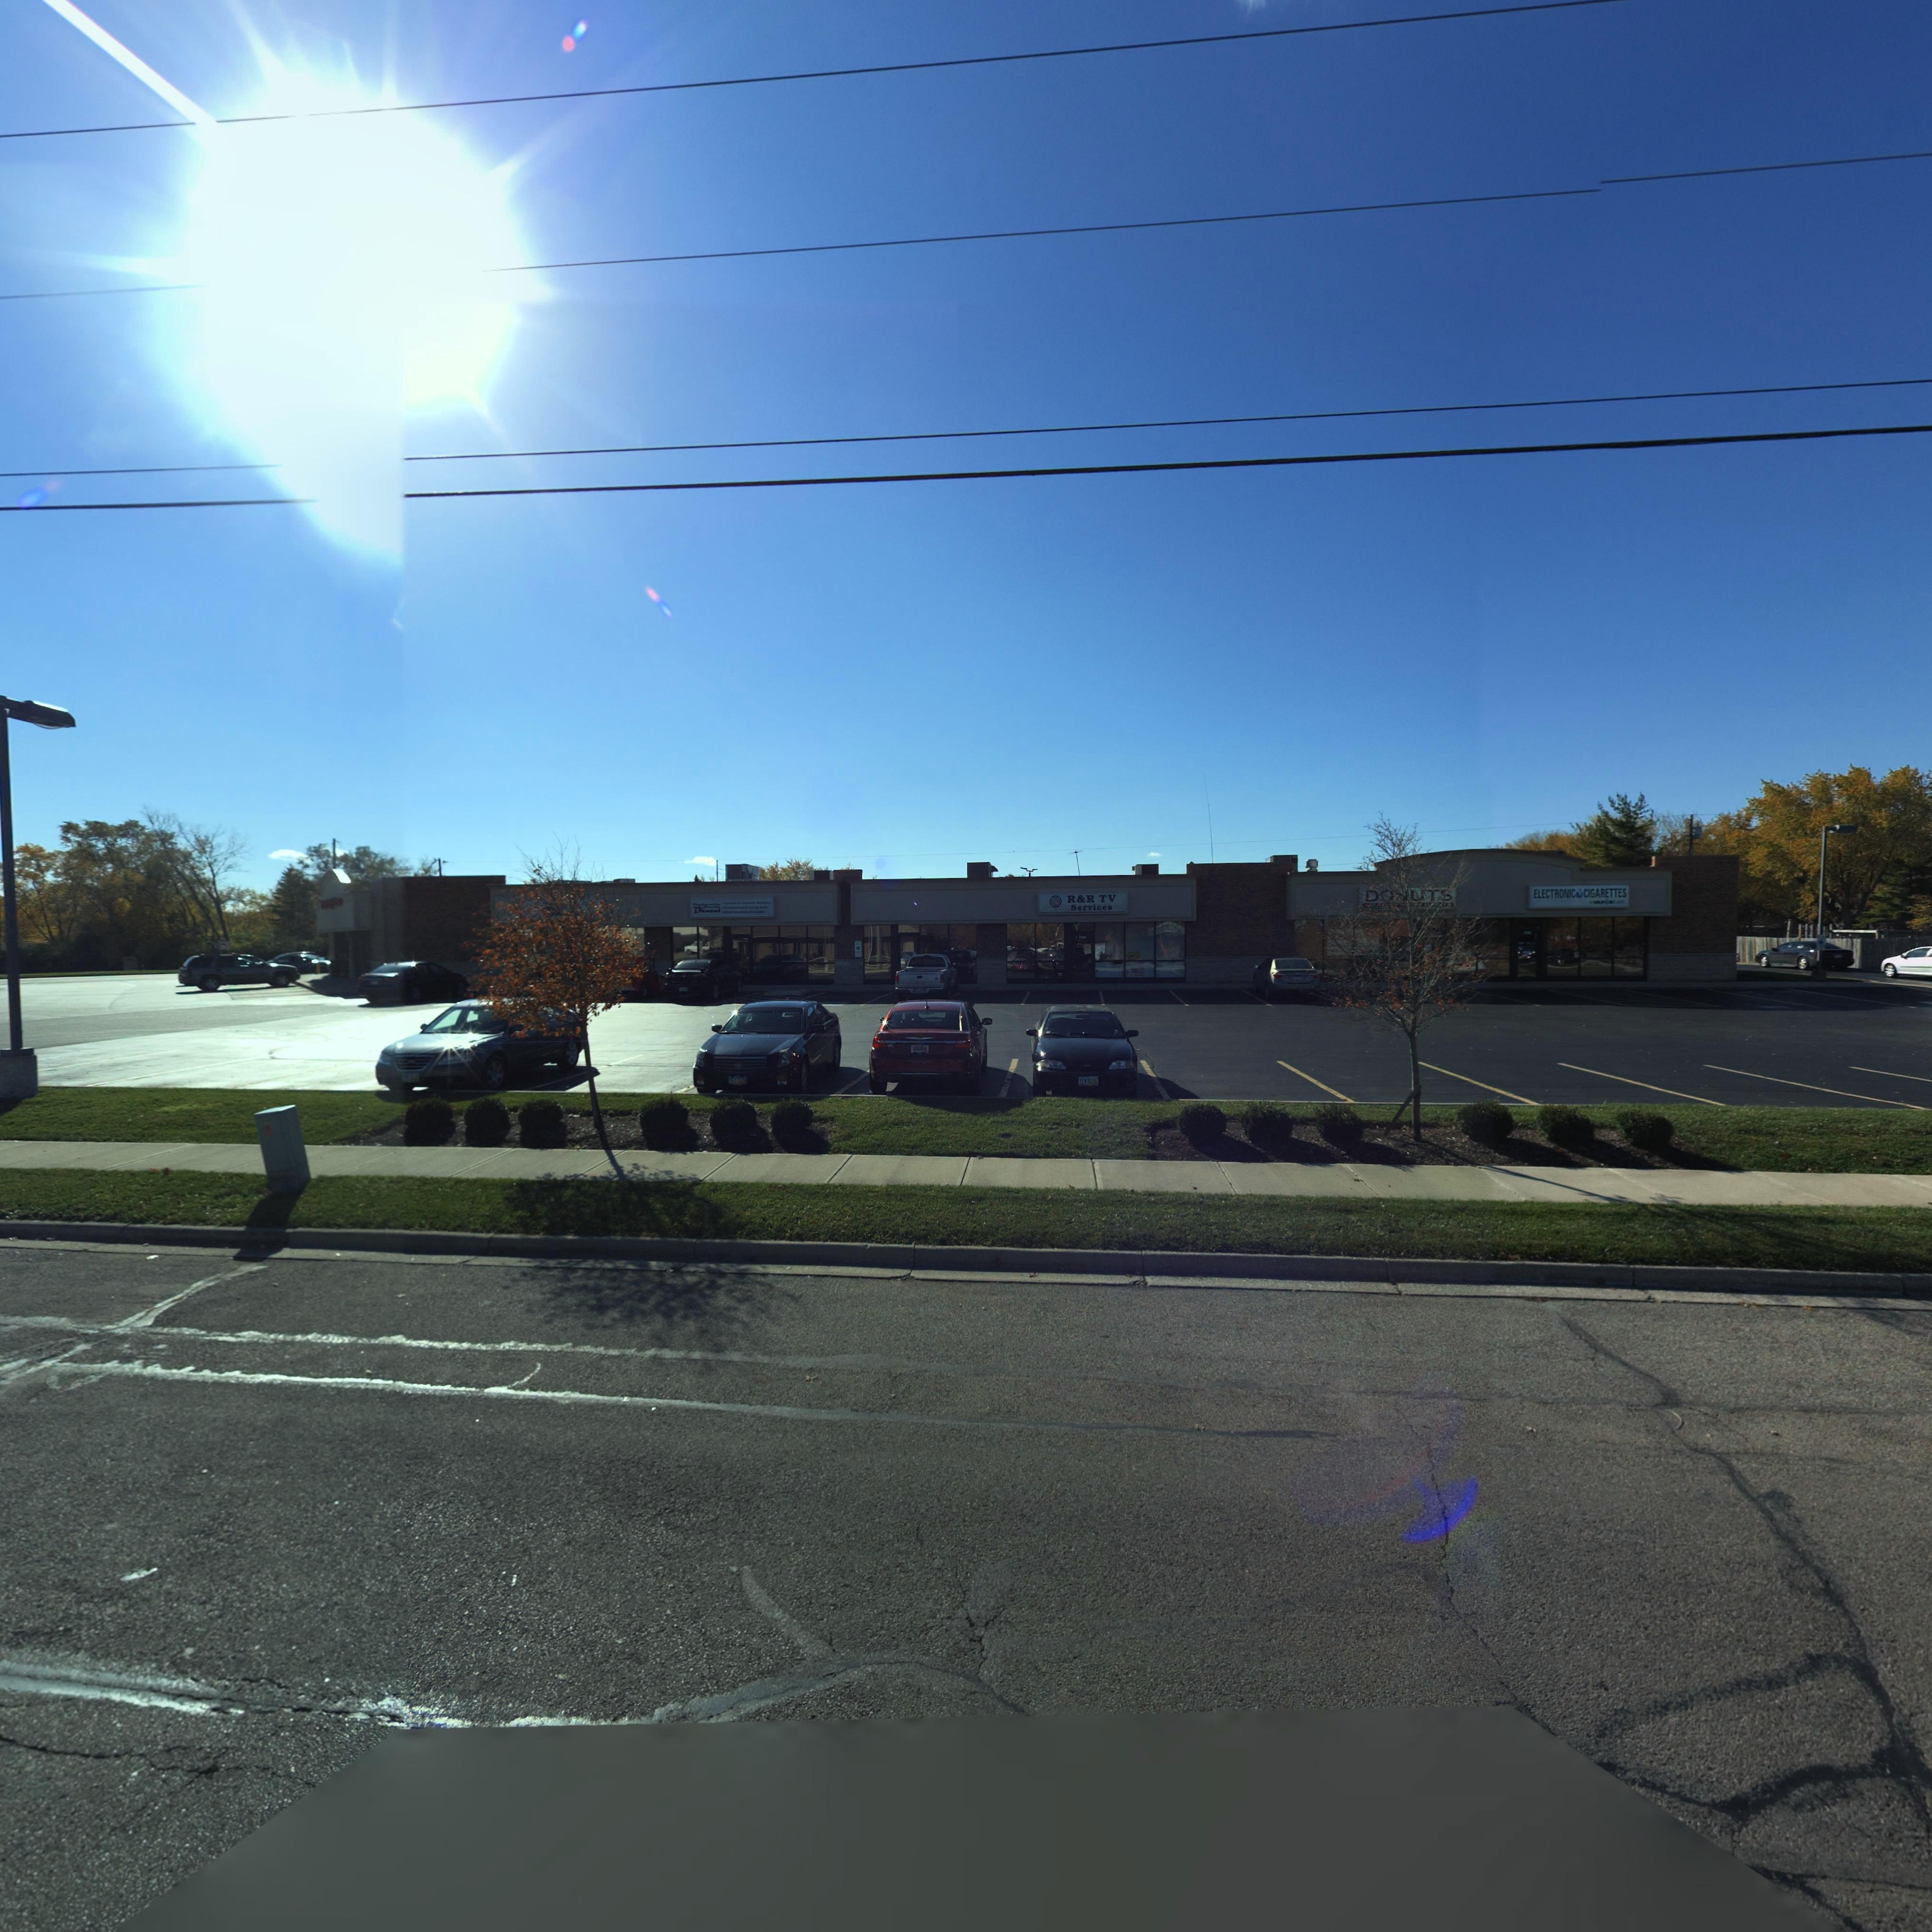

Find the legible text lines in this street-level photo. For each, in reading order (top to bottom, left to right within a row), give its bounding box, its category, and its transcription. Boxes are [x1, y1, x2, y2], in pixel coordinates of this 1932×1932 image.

[1533, 887, 1628, 899] BusinessName: ELECTRONIC*CIGARETTES
[1066, 894, 1118, 904] BusinessName: R&R TV
[693, 906, 702, 914] BusinessName: D
[1071, 904, 1112, 911] BusinessName: Services
[1523, 931, 1532, 935] StreetNumber: 7**0
[1078, 936, 1087, 939] StreetNumber: 7**0